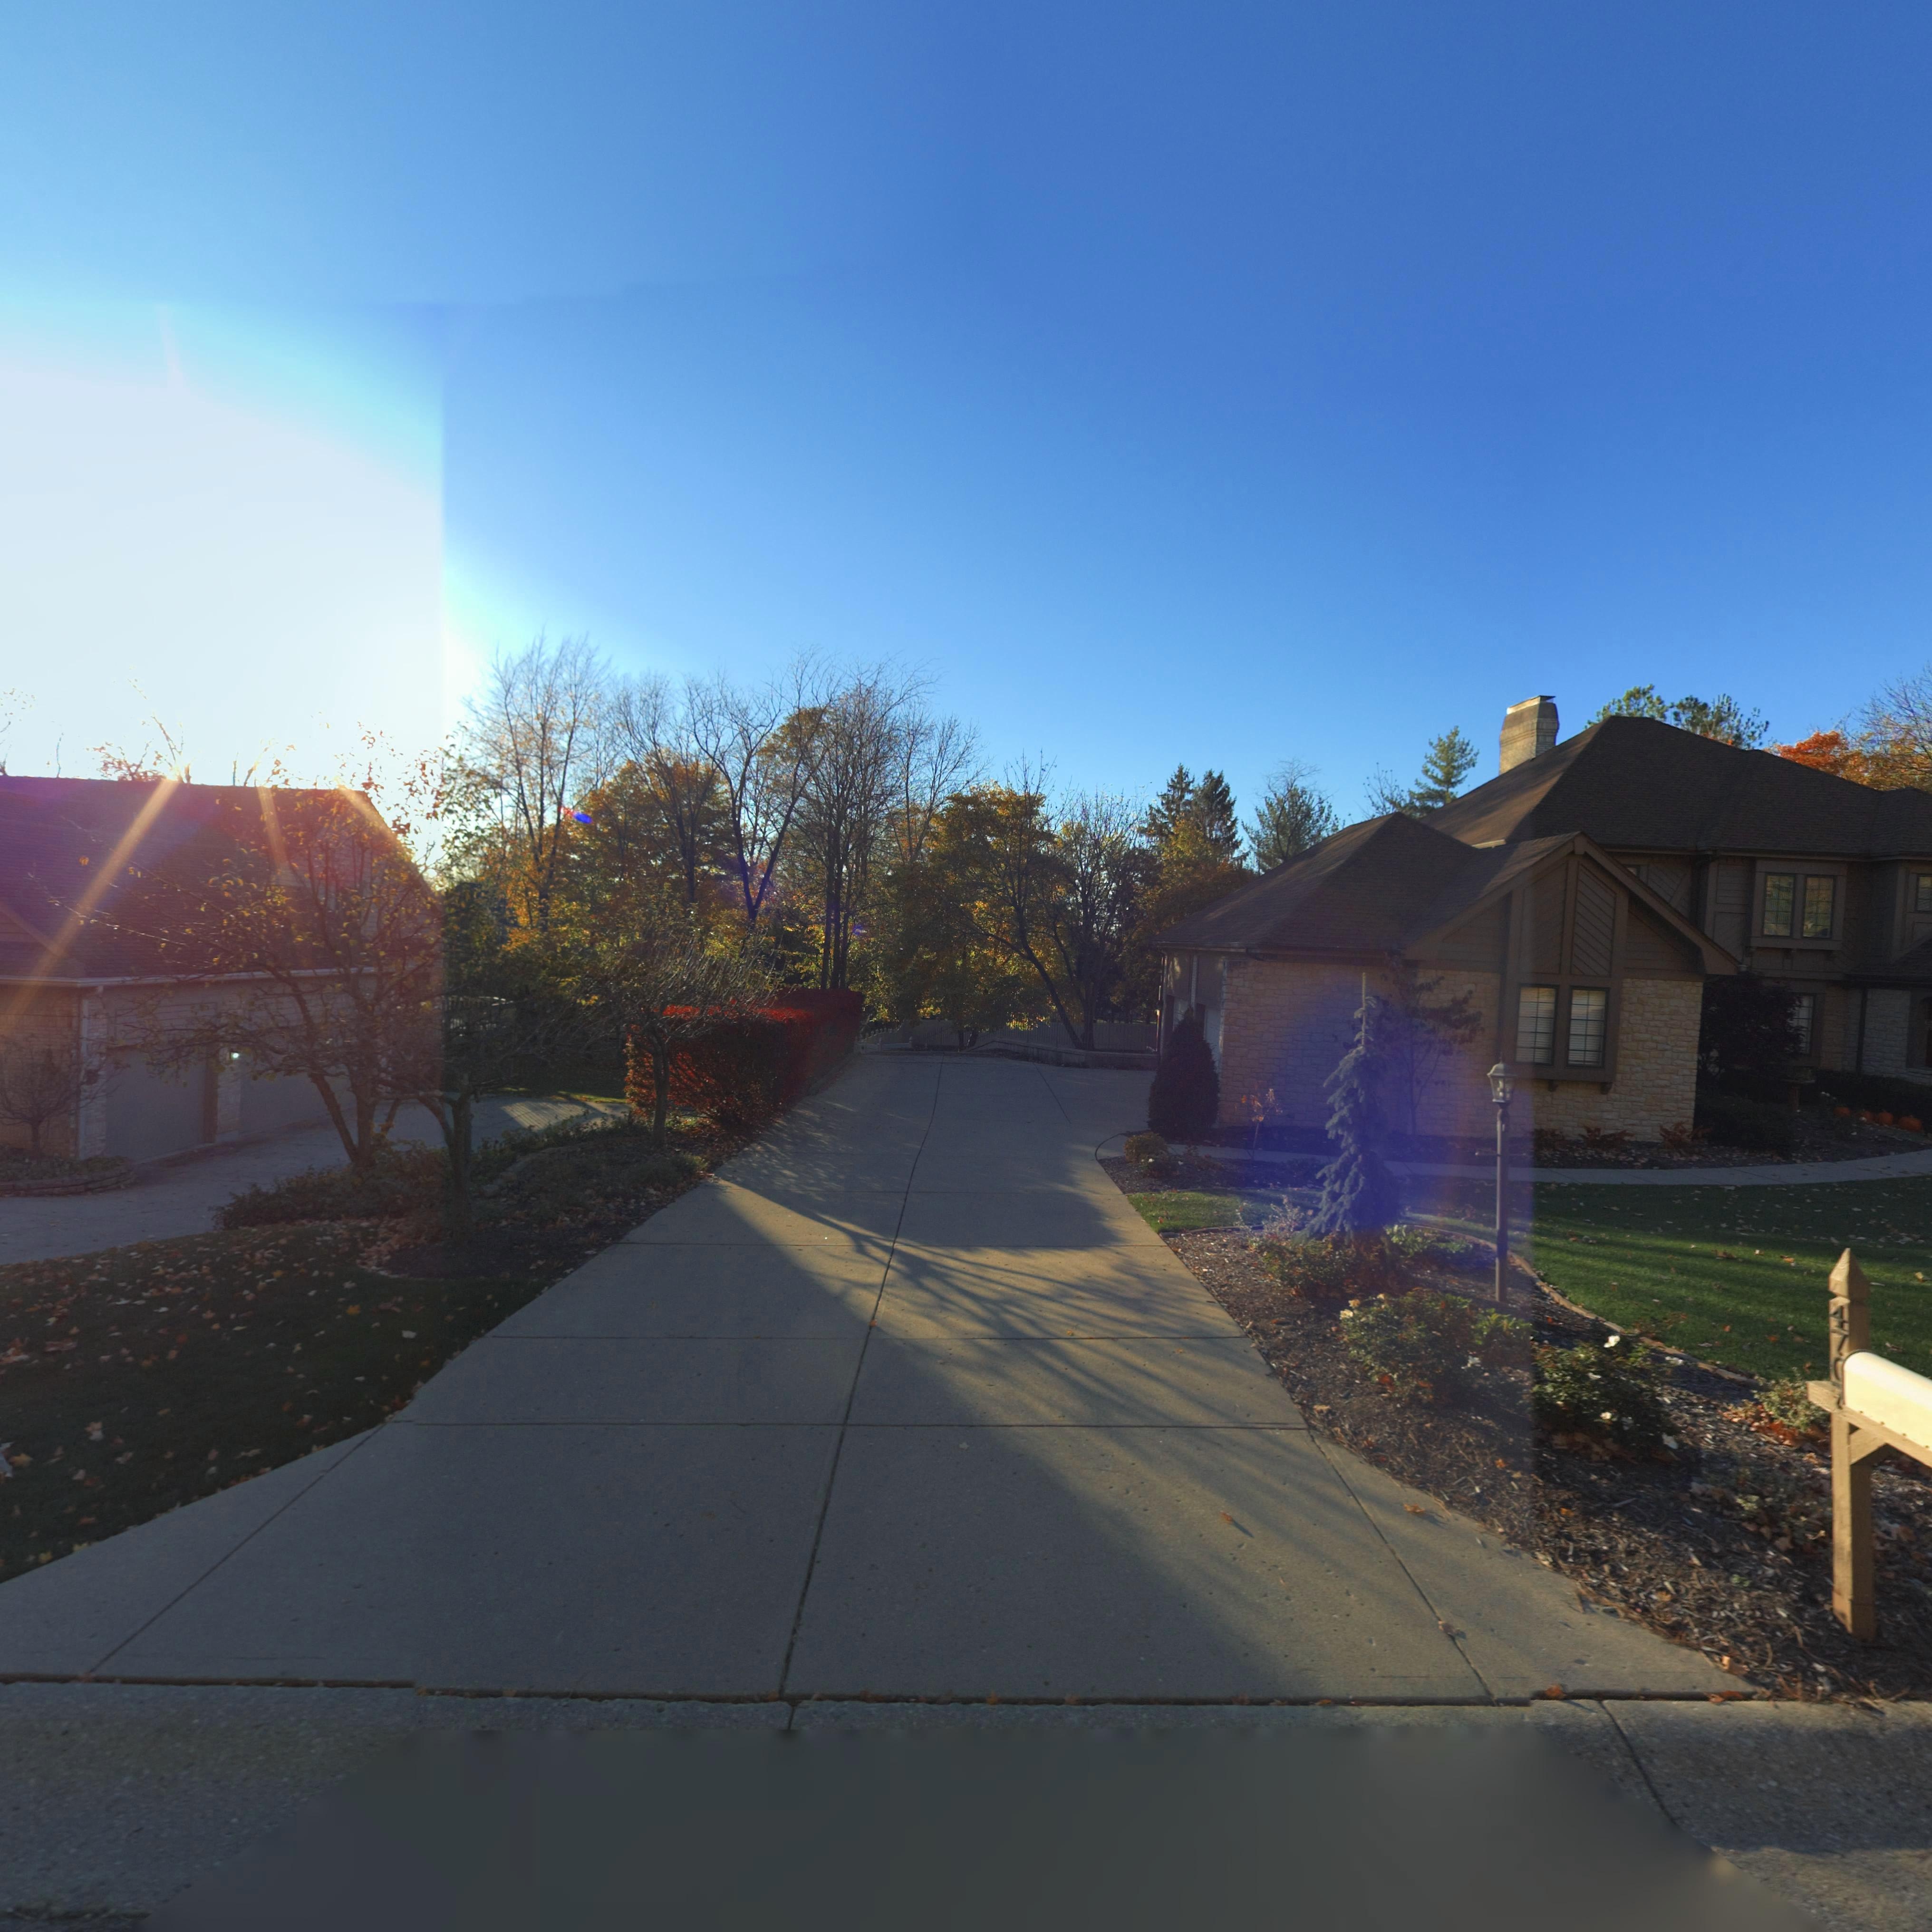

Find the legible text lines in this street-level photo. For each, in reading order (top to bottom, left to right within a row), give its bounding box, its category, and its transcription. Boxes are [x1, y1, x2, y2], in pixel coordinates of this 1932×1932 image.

[1828, 1304, 1850, 1385] StreetNumber: 47*